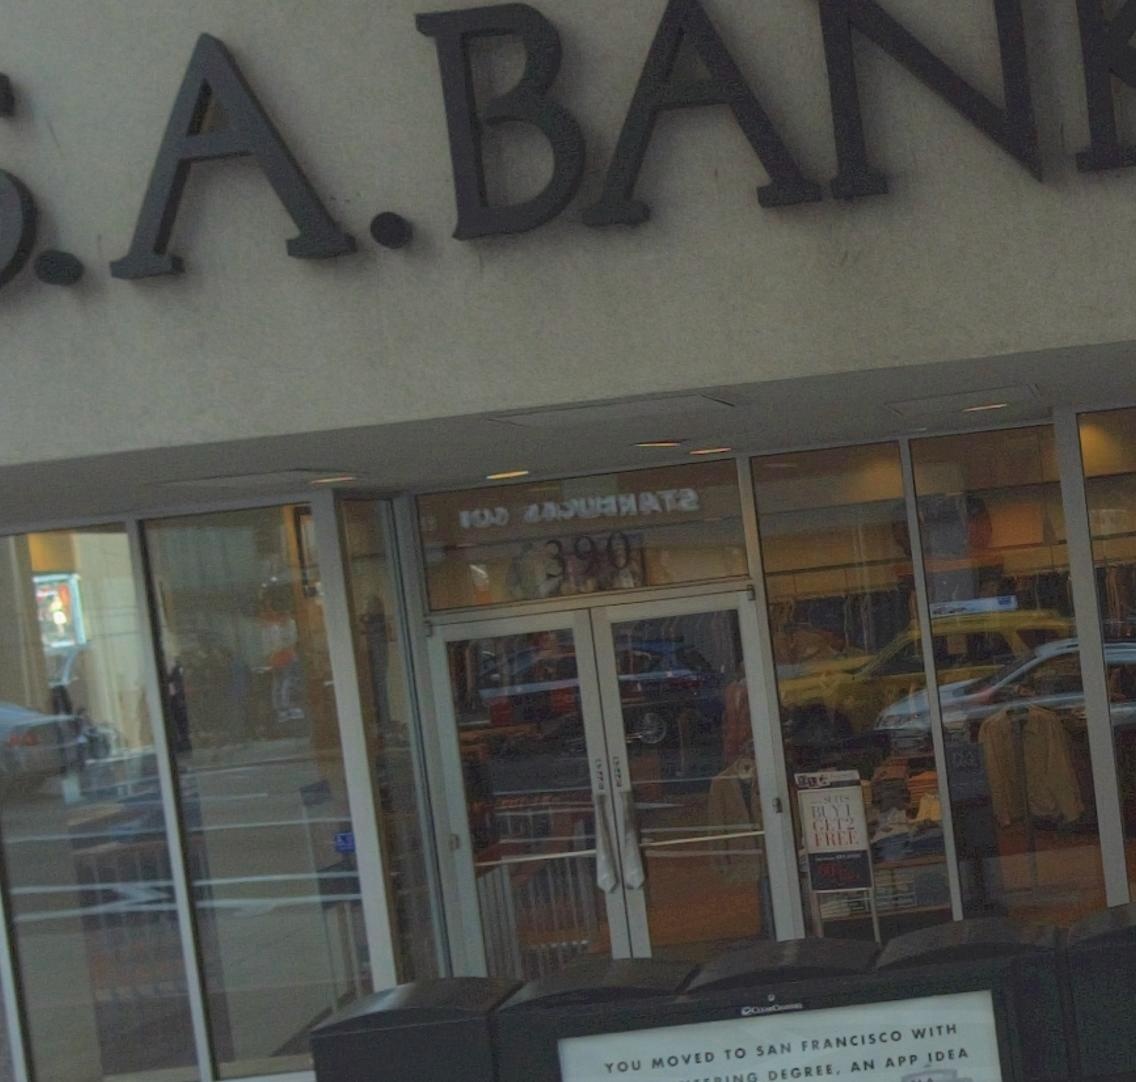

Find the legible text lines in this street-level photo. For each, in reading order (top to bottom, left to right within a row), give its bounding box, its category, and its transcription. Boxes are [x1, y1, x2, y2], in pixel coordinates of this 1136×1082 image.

[23, 0, 602, 297] BusinessName: .A.B
[538, 523, 640, 587] StreetNumber: 390
[806, 801, 853, 823] None: BUY 1
[808, 814, 859, 836] None: GET 2
[812, 828, 863, 850] None: FREE
[601, 1015, 962, 1080] None: YOU MOVED TO SAN FRANCISCO WITH
[764, 1042, 973, 1082] None: DEGRREE, AN APP IDEA